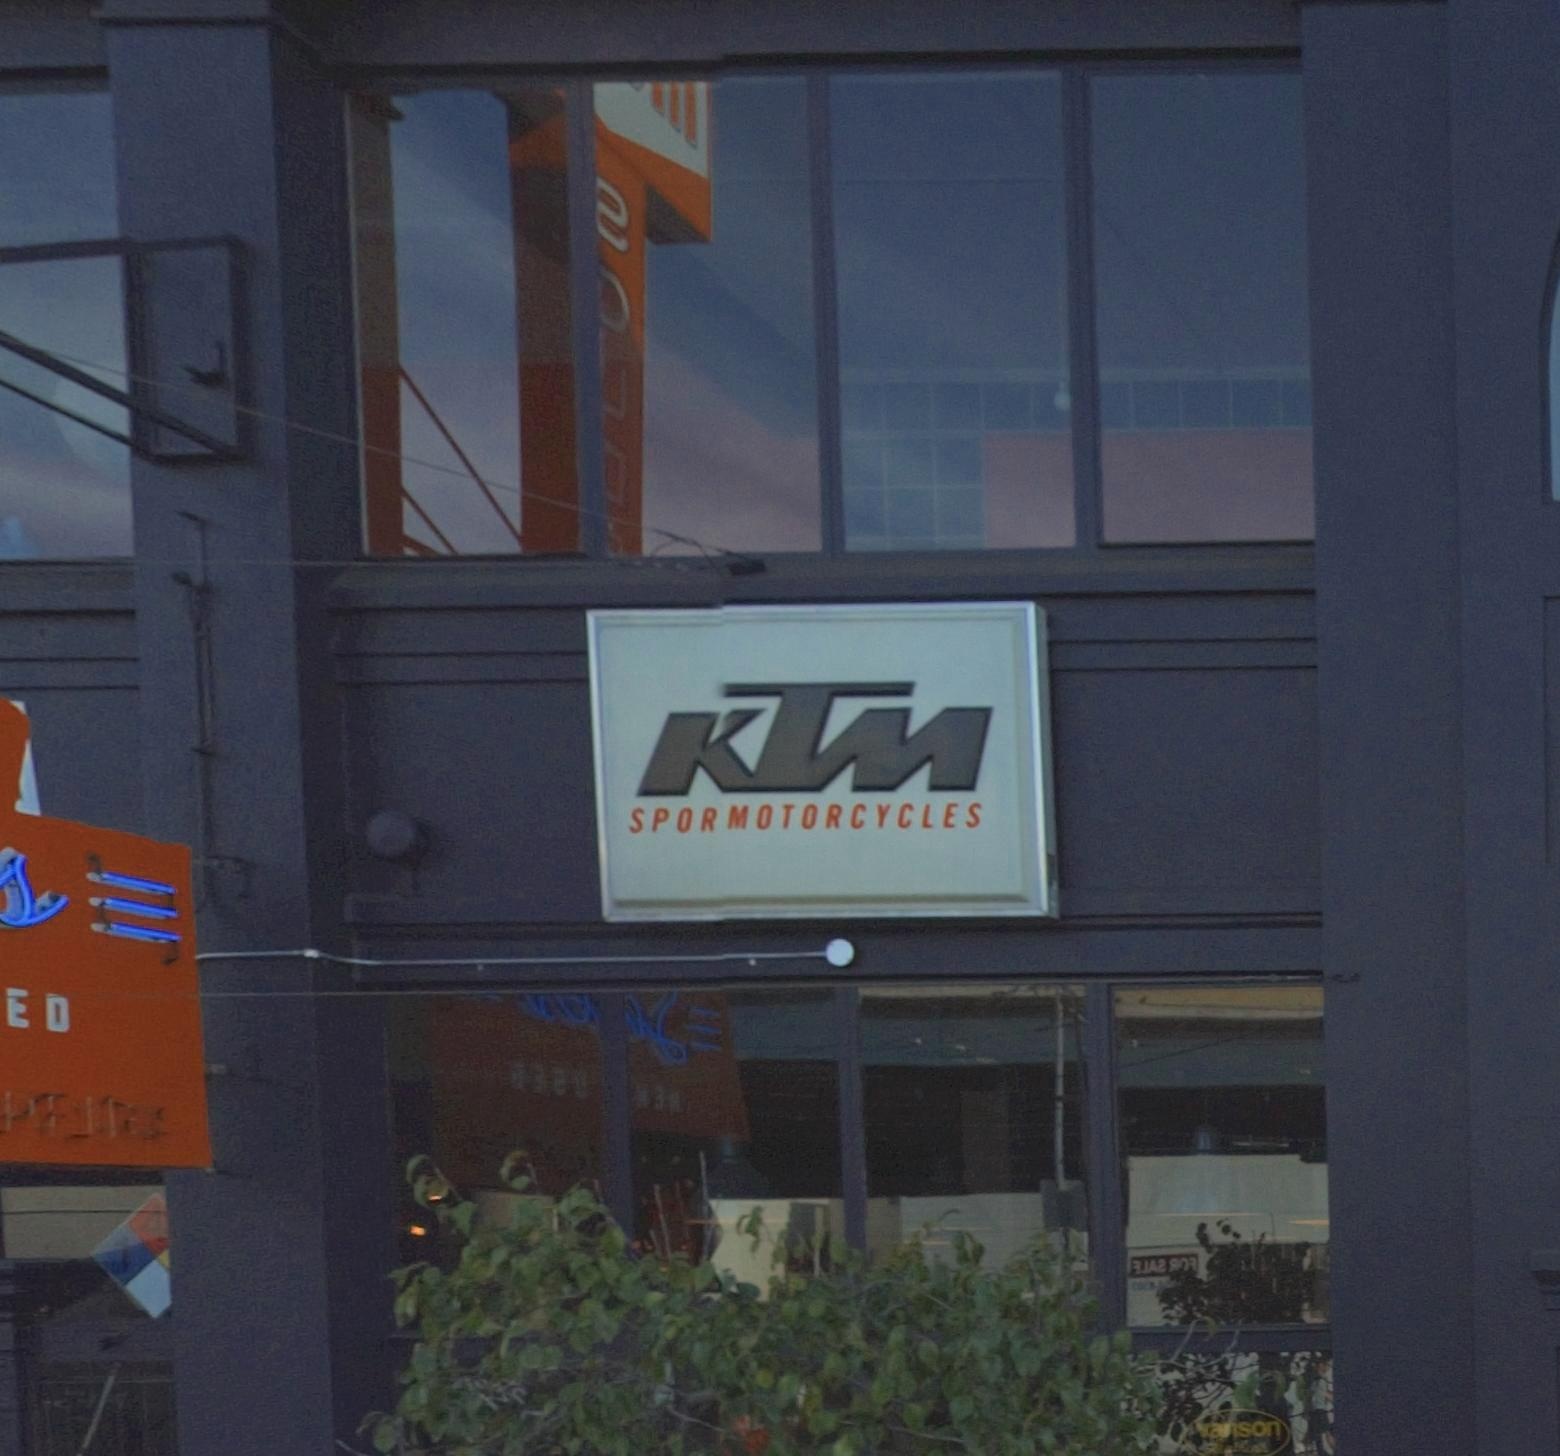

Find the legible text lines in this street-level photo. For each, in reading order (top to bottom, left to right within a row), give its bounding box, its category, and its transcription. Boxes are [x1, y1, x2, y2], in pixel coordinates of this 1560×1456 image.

[621, 673, 1014, 803] BusinessName: *TM
[619, 796, 989, 840] None: SPOR MOTORCYCLES
[1, 981, 74, 1039] None: ED
[503, 1049, 593, 1108] None: ***U
[627, 1073, 689, 1121] None: W**
[137, 1199, 174, 1249] None: 4
[109, 1230, 133, 1278] None: 1
[1129, 1253, 1201, 1277] None: **A* *O*
[1191, 1417, 1285, 1443] None: vanson